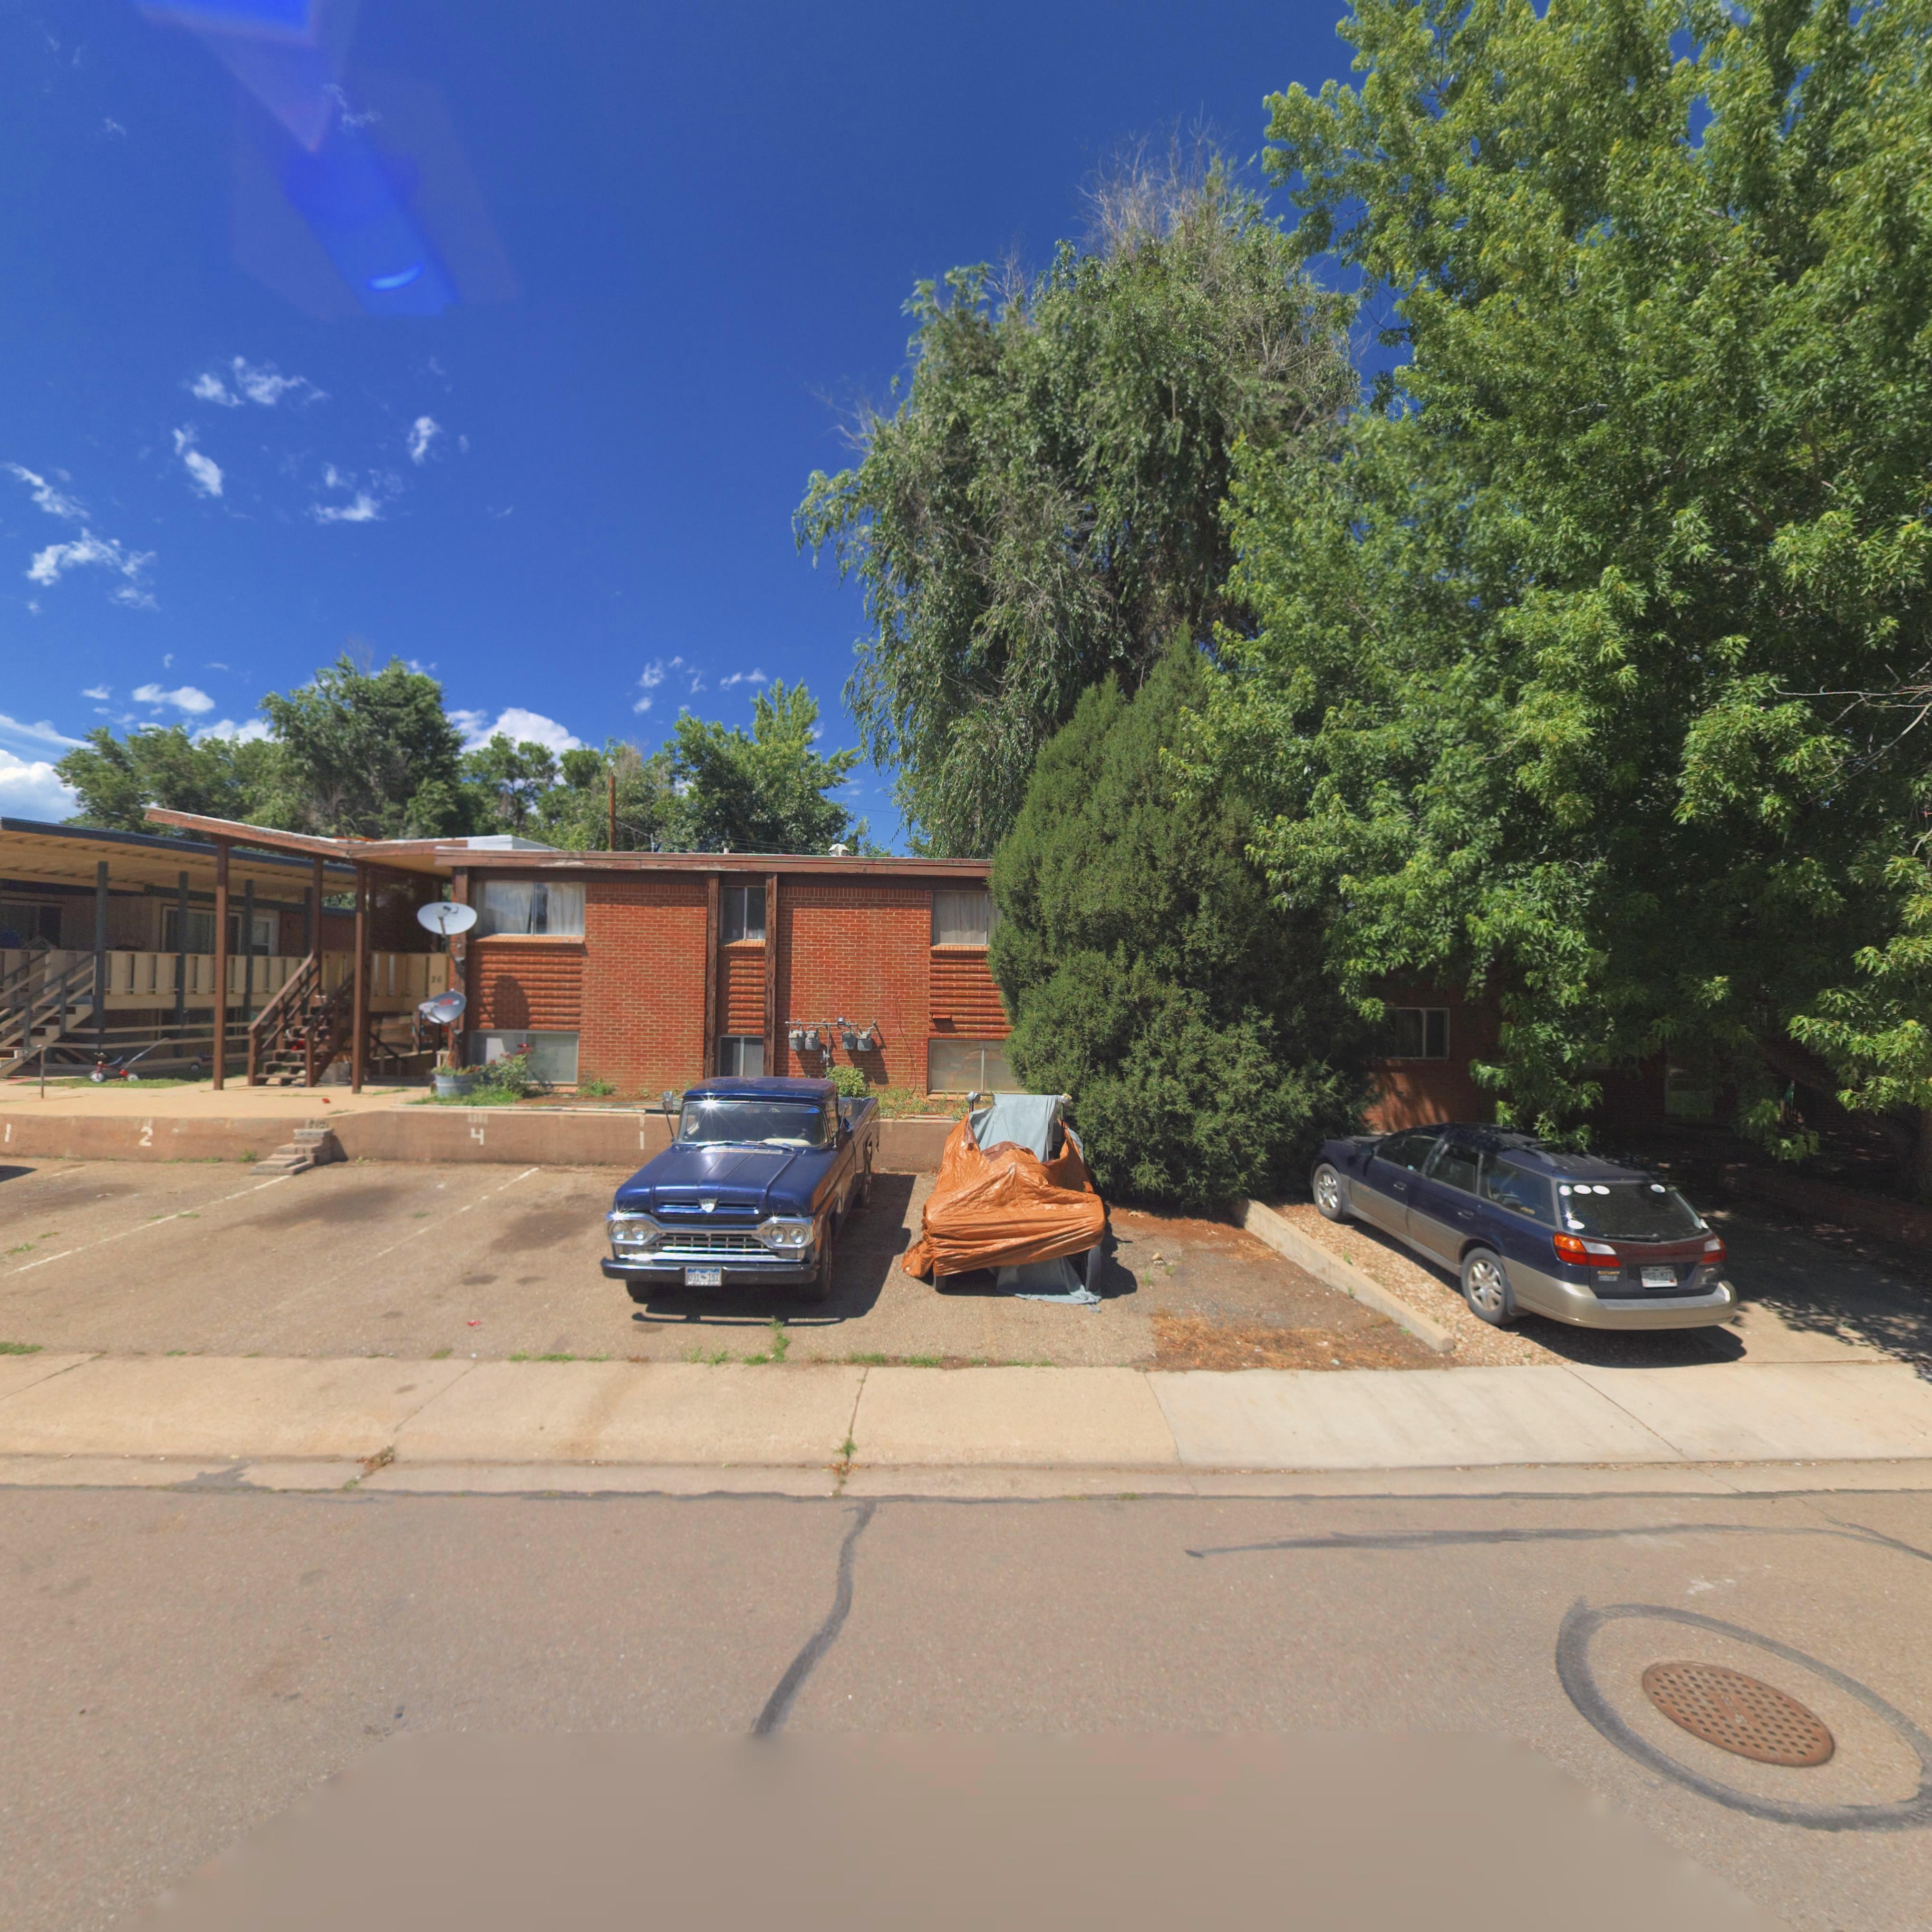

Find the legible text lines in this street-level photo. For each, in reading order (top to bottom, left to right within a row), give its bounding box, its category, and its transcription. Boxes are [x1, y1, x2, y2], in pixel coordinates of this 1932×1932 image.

[431, 975, 443, 983] StreetNumber: 26
[687, 1273, 718, 1282] None: x*